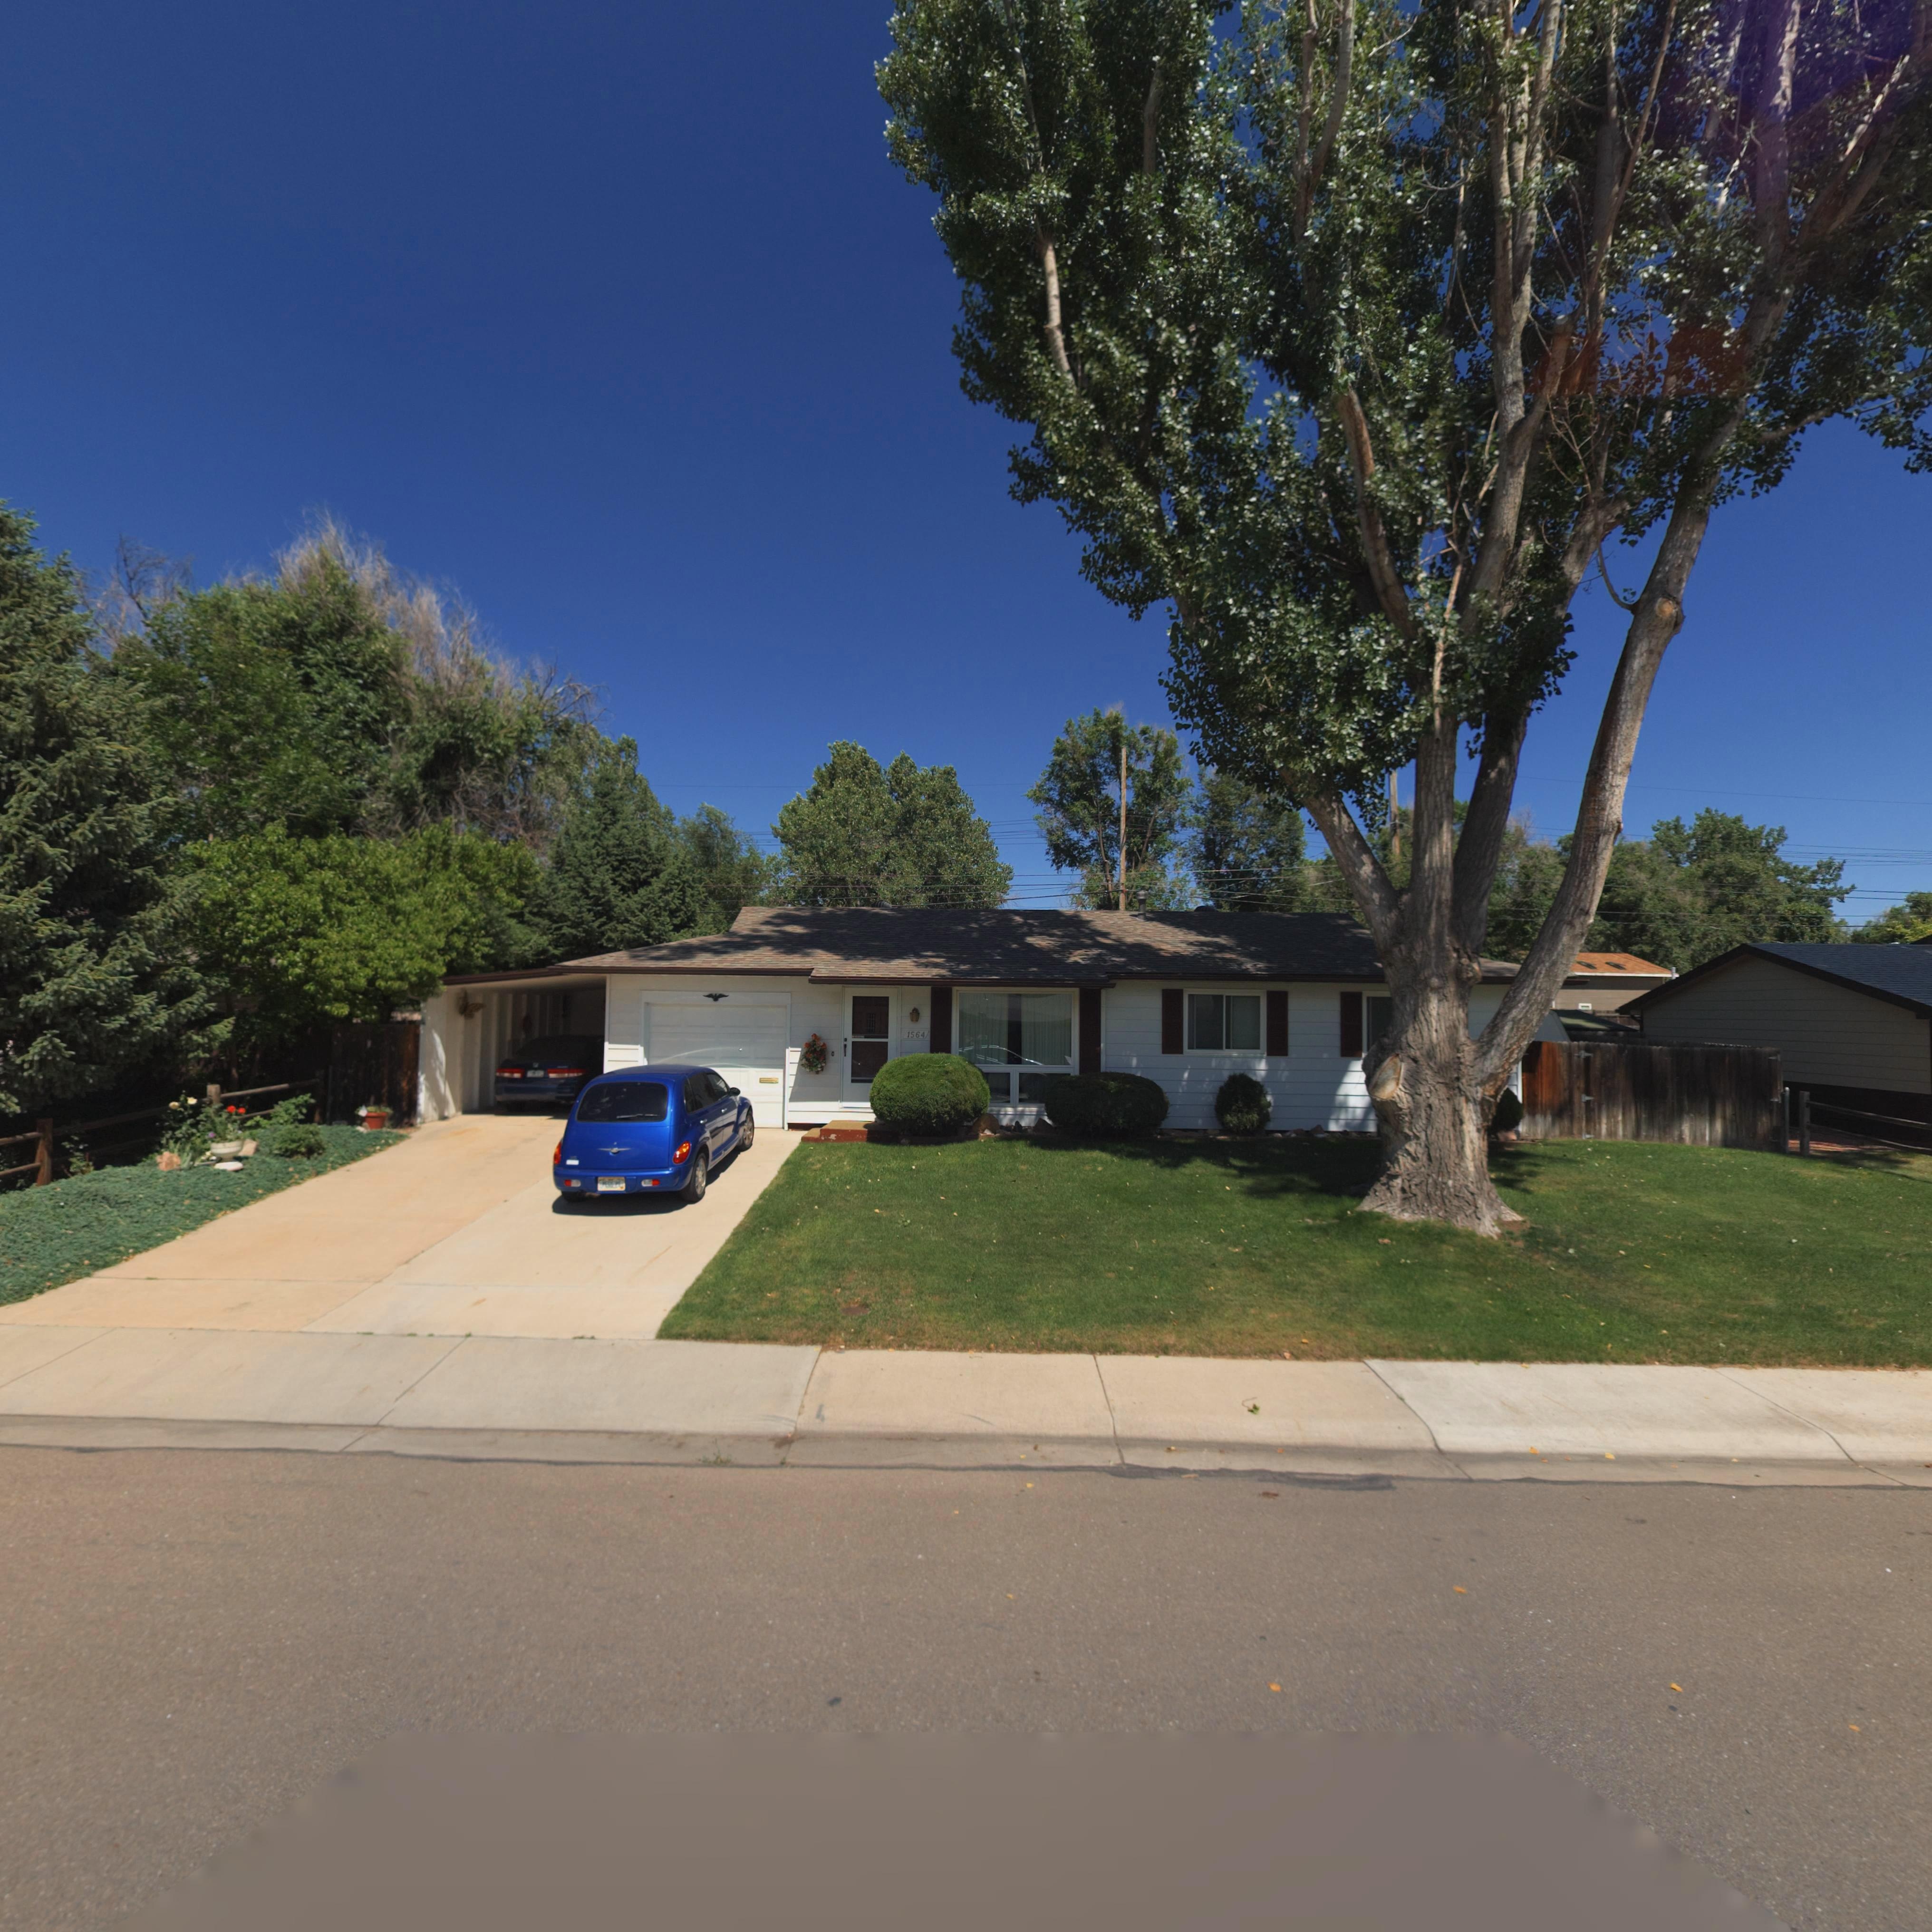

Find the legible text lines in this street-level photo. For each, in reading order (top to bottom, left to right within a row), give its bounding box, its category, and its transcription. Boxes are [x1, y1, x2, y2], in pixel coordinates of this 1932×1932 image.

[907, 1031, 925, 1039] StreetNumber: 1564